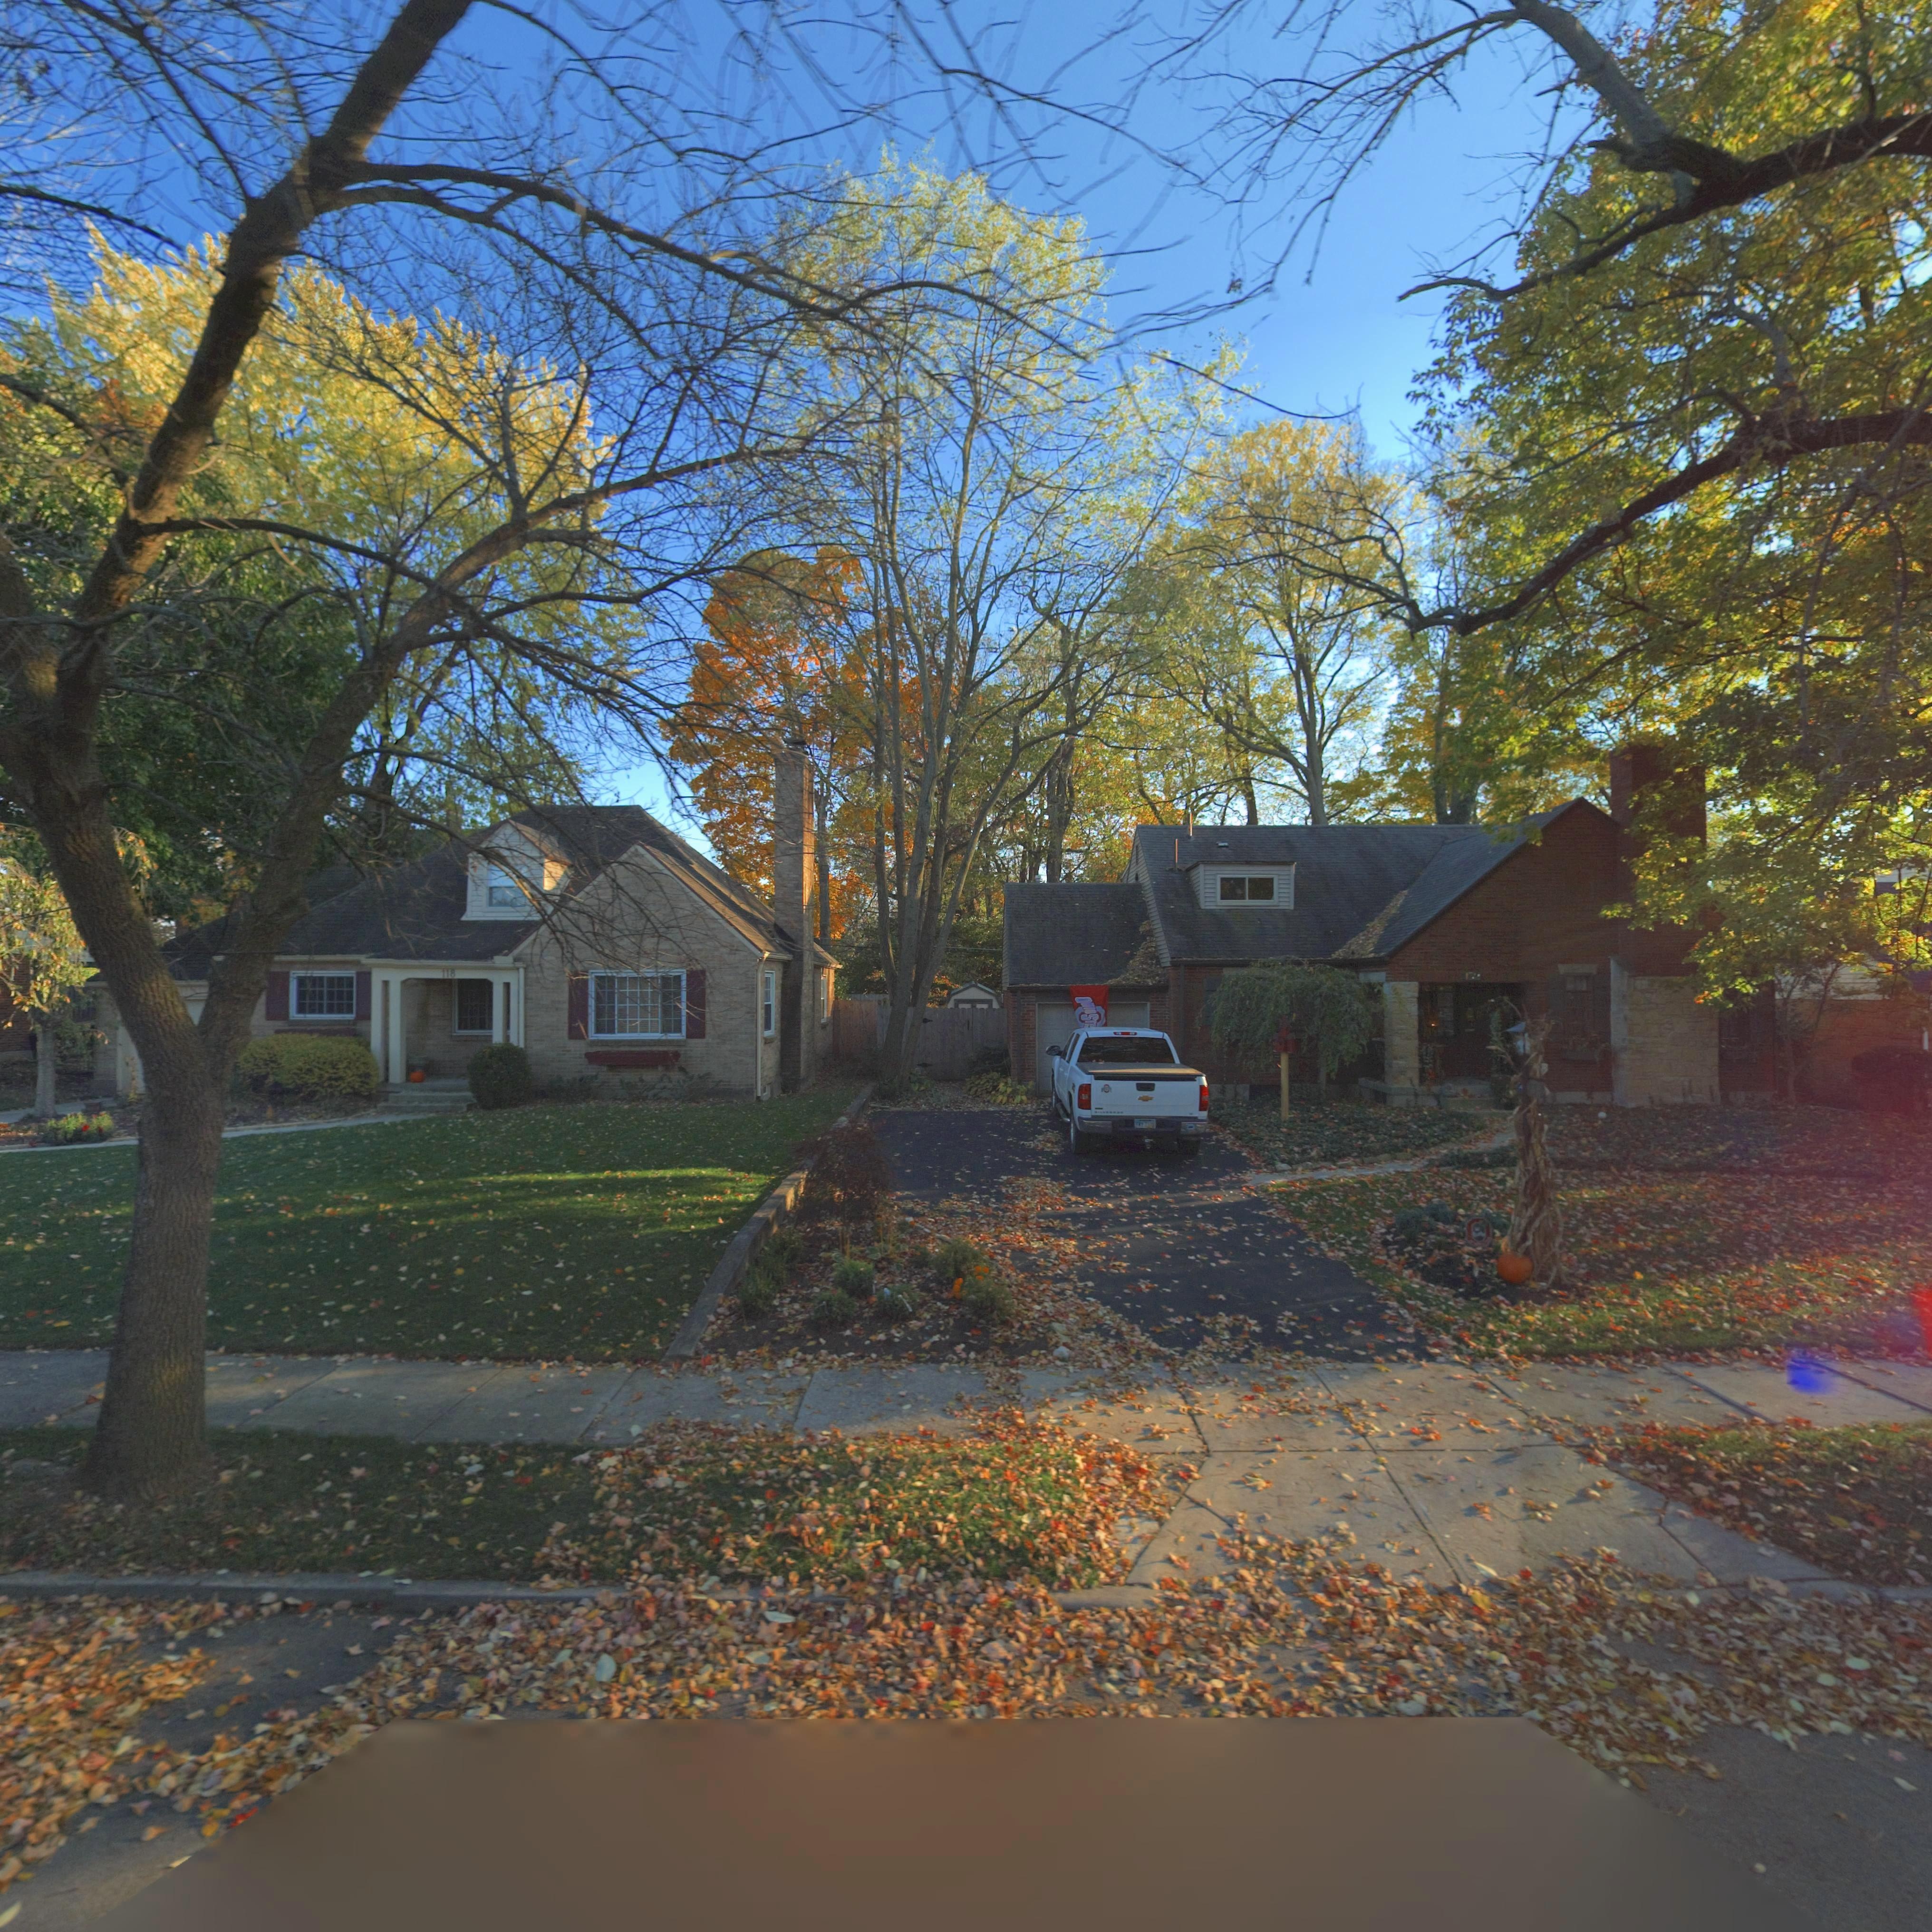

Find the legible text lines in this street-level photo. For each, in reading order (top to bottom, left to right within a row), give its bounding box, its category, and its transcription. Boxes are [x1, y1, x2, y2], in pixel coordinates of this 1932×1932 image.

[441, 968, 456, 978] StreetNumber: 118
[1465, 971, 1481, 981] StreetNumber: 1*2